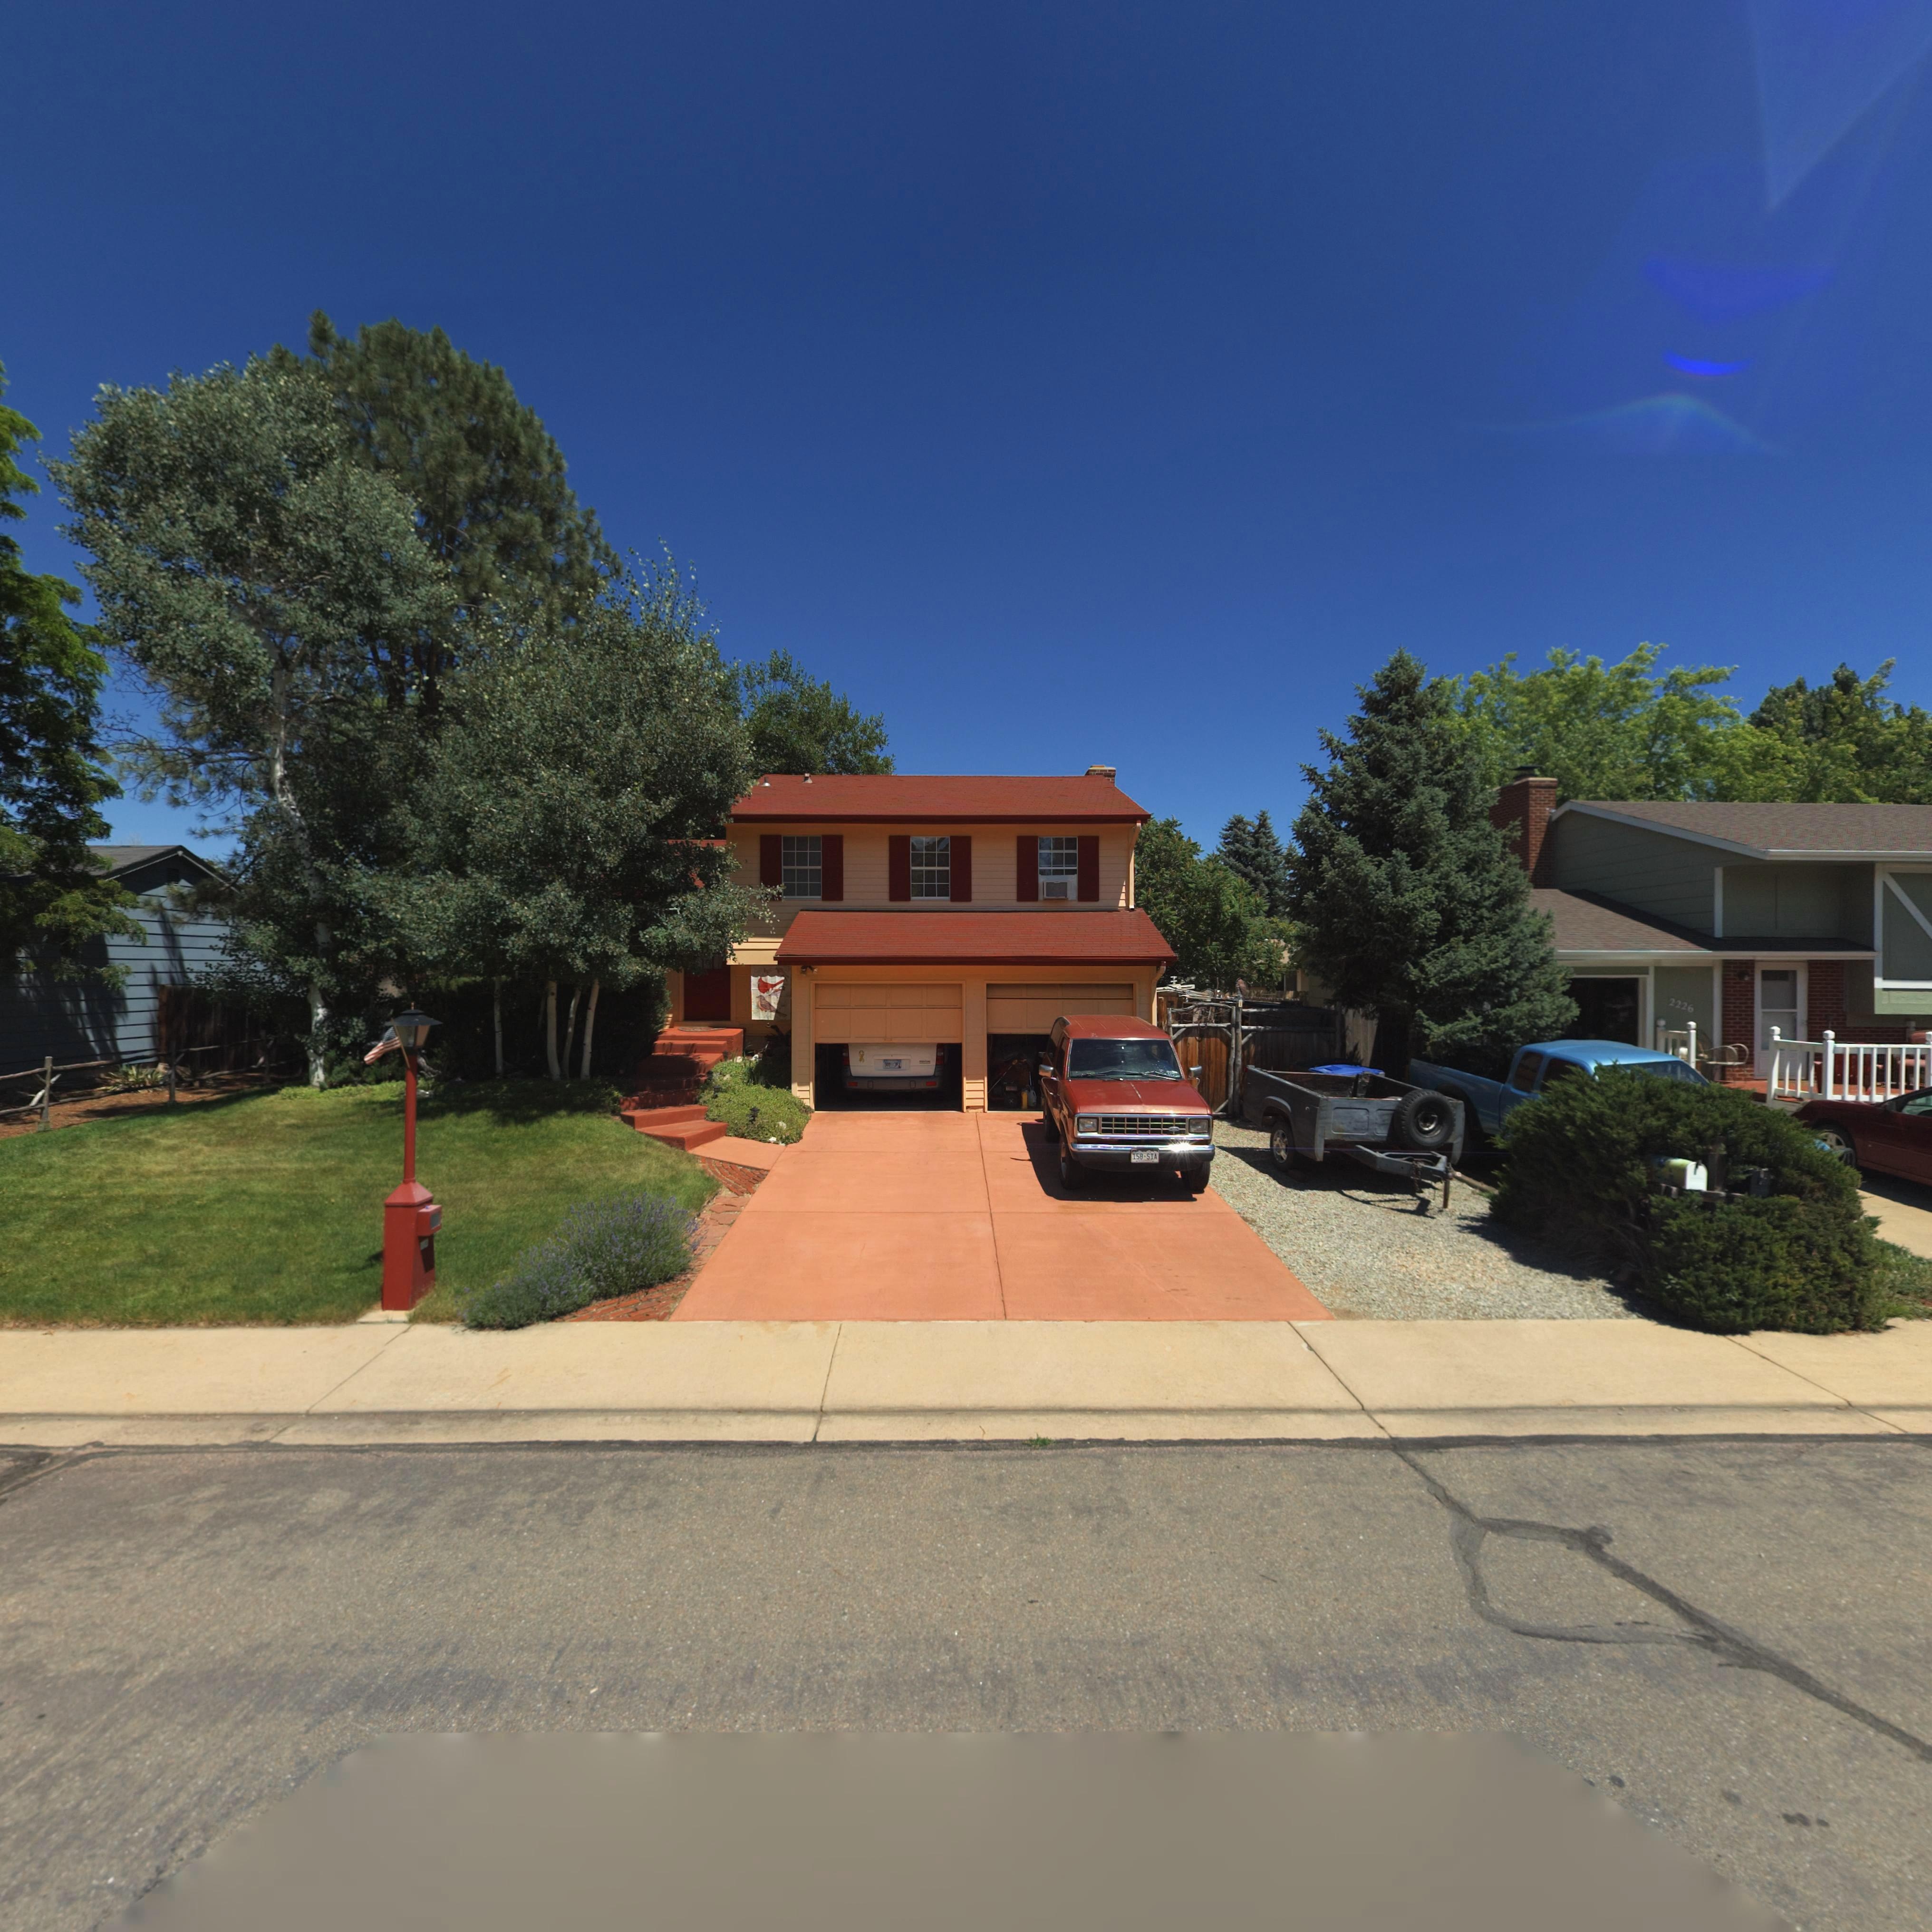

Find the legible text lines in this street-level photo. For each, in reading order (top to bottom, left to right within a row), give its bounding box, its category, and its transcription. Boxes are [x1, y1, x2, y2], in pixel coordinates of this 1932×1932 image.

[1668, 997, 1694, 1014] StreetNumber: 2226